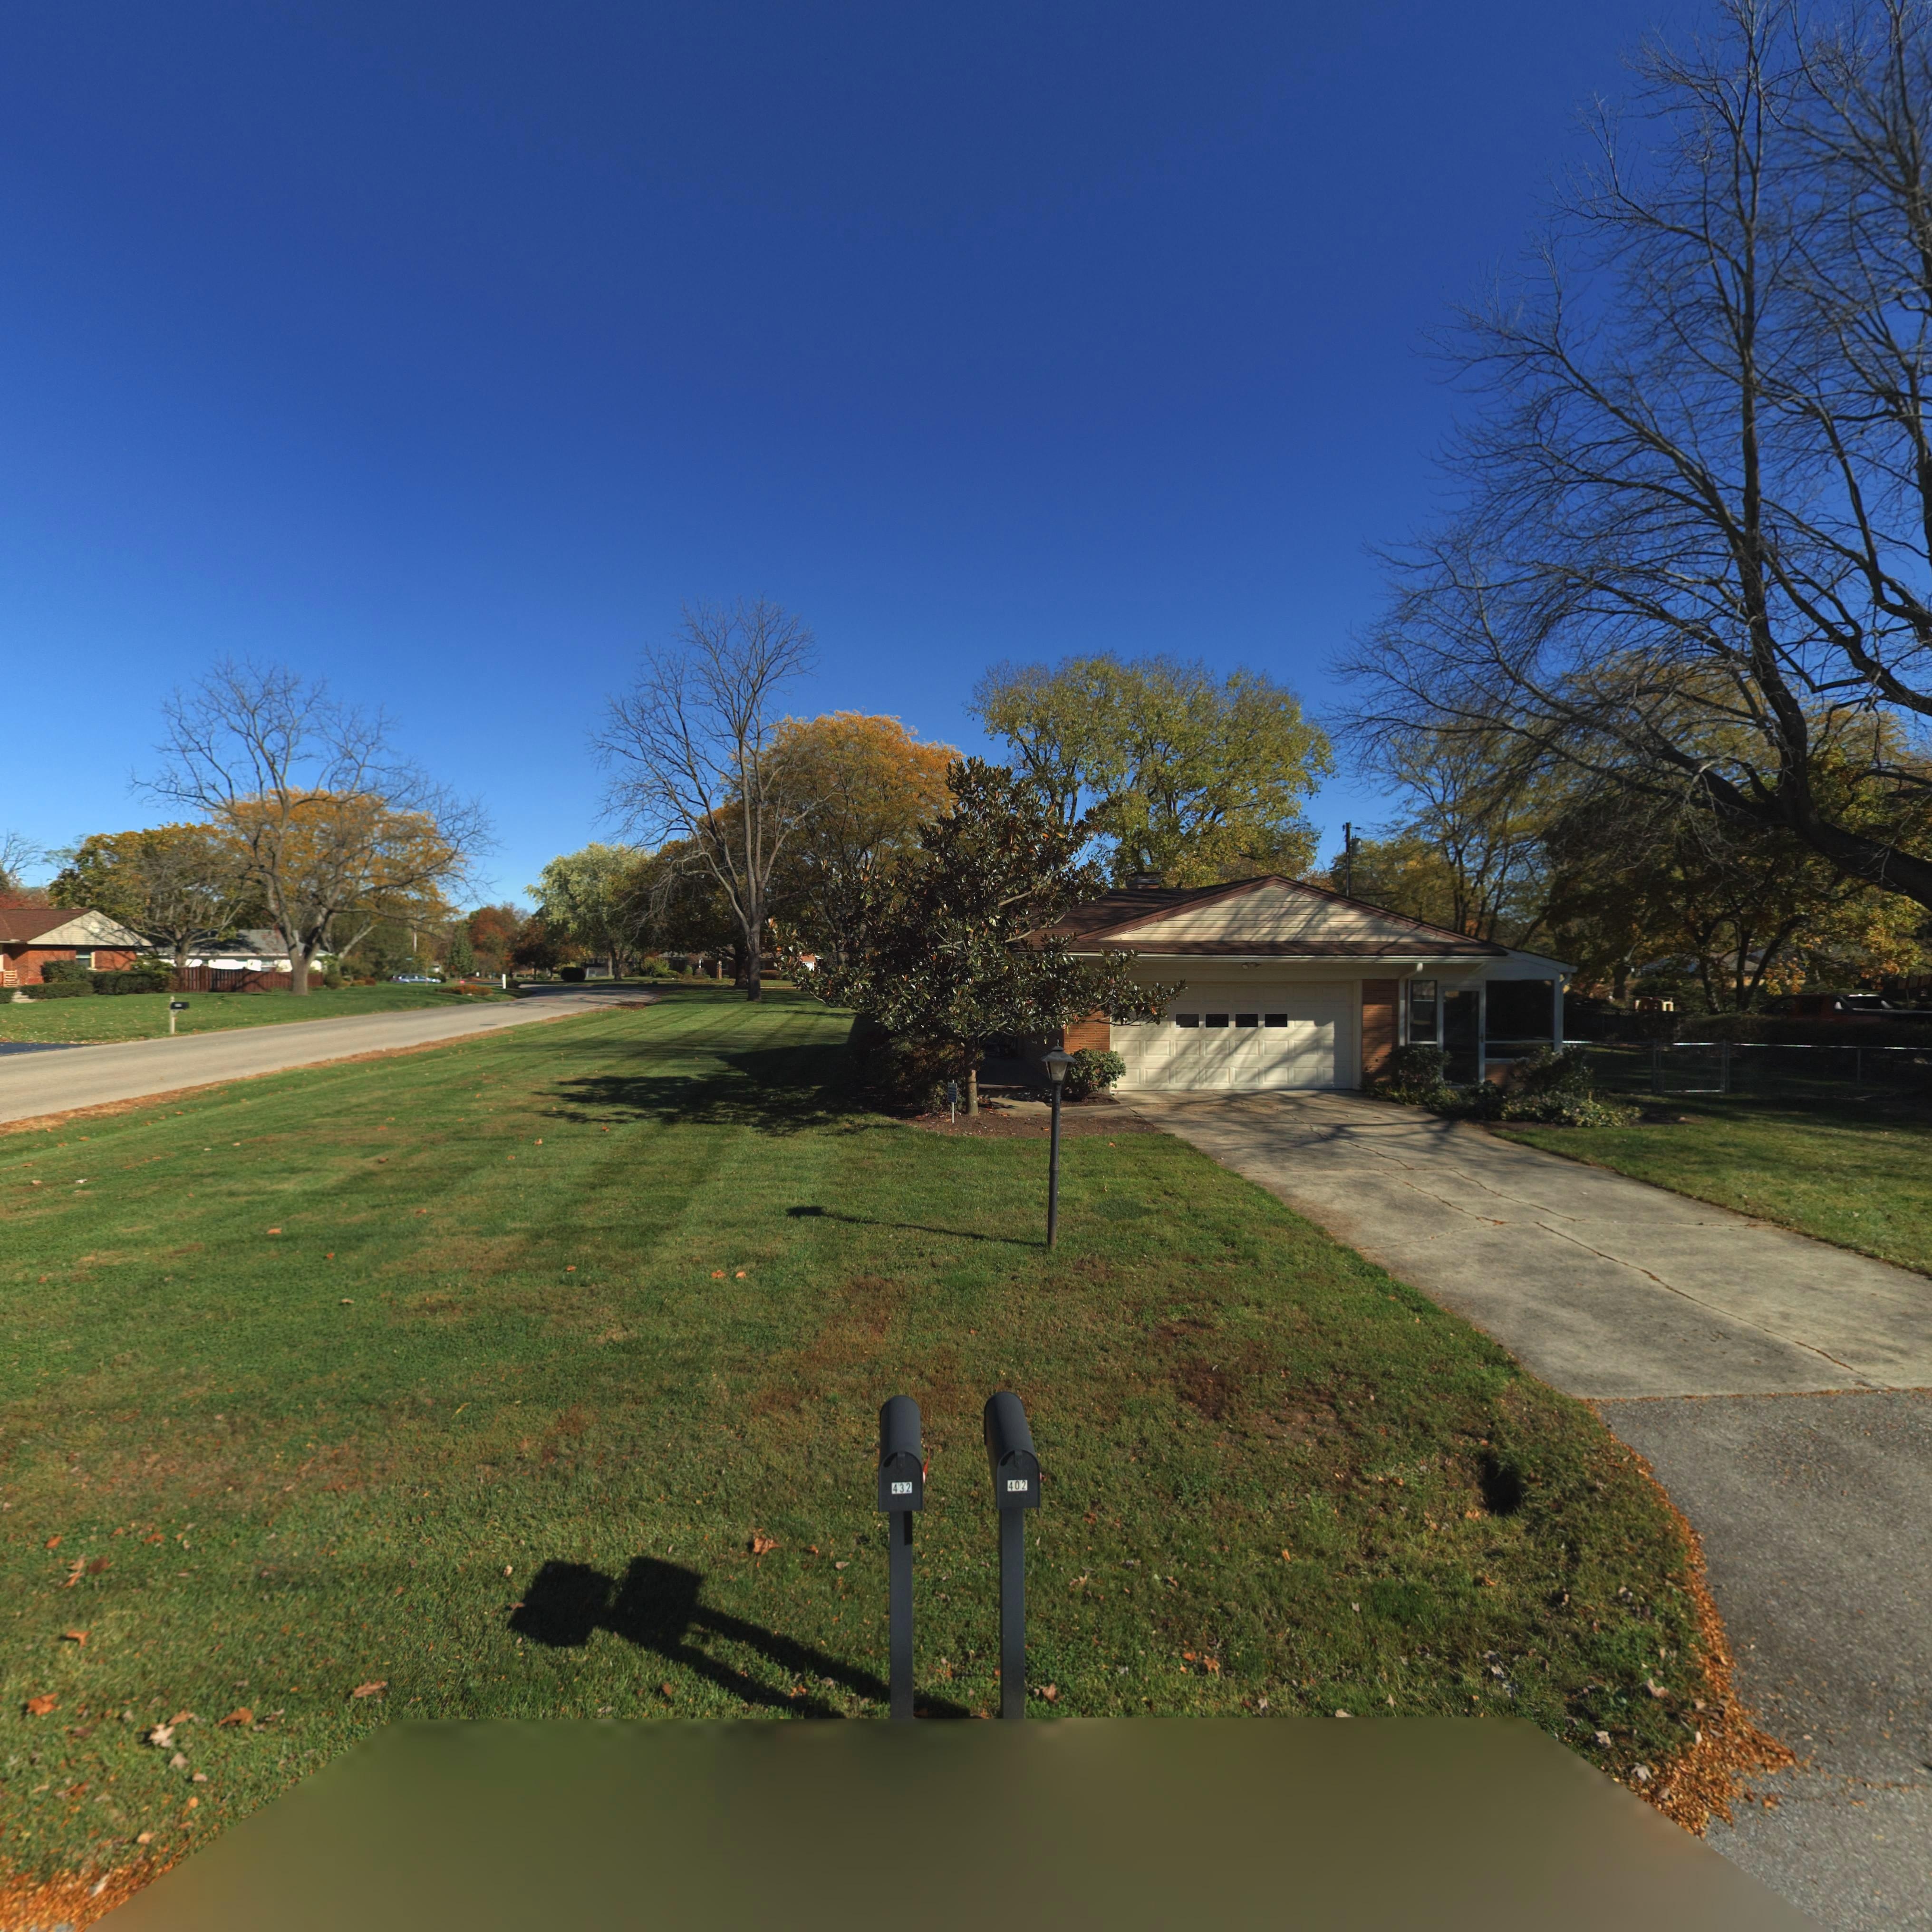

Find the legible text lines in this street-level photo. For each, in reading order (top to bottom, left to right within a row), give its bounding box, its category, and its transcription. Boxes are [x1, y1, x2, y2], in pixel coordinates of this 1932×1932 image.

[891, 1481, 913, 1494] StreetNumber: 432
[1007, 1480, 1027, 1491] StreetNumber: 402